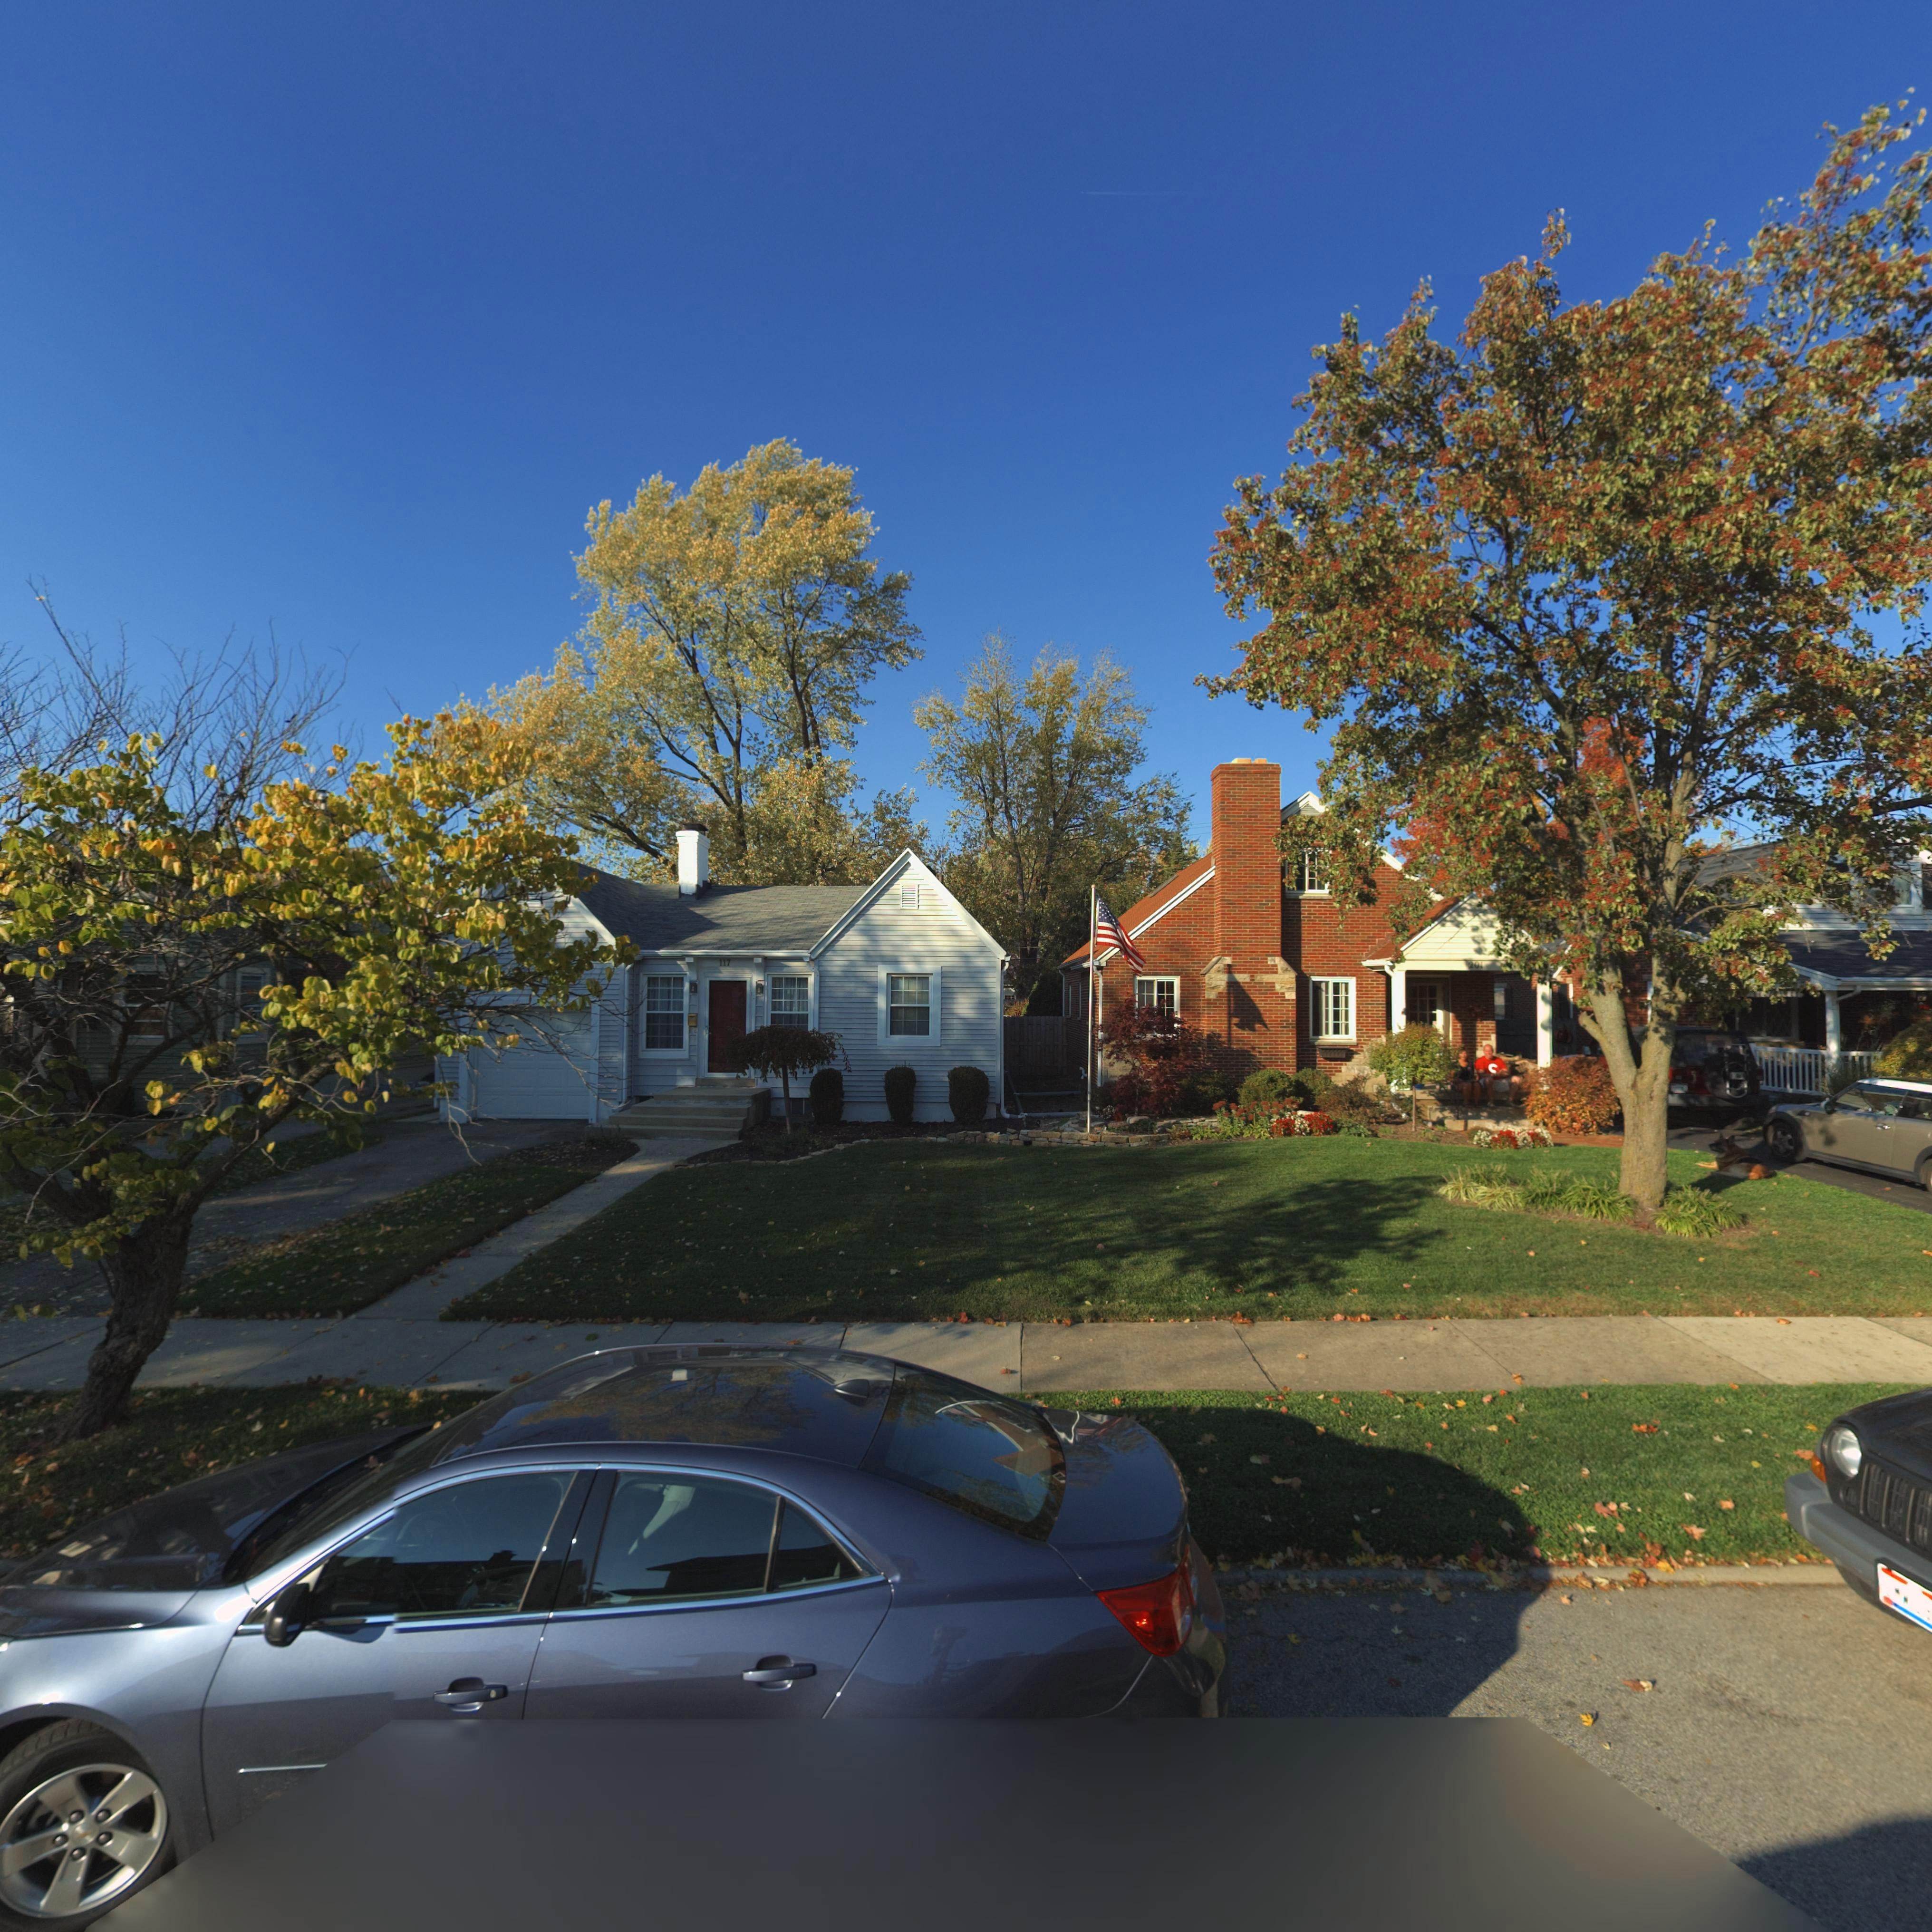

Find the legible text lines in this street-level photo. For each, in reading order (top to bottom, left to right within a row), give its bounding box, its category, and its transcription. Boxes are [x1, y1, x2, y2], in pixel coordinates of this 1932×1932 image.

[718, 959, 731, 966] StreetNumber: 117
[1468, 961, 1483, 968] StreetNumber: 201